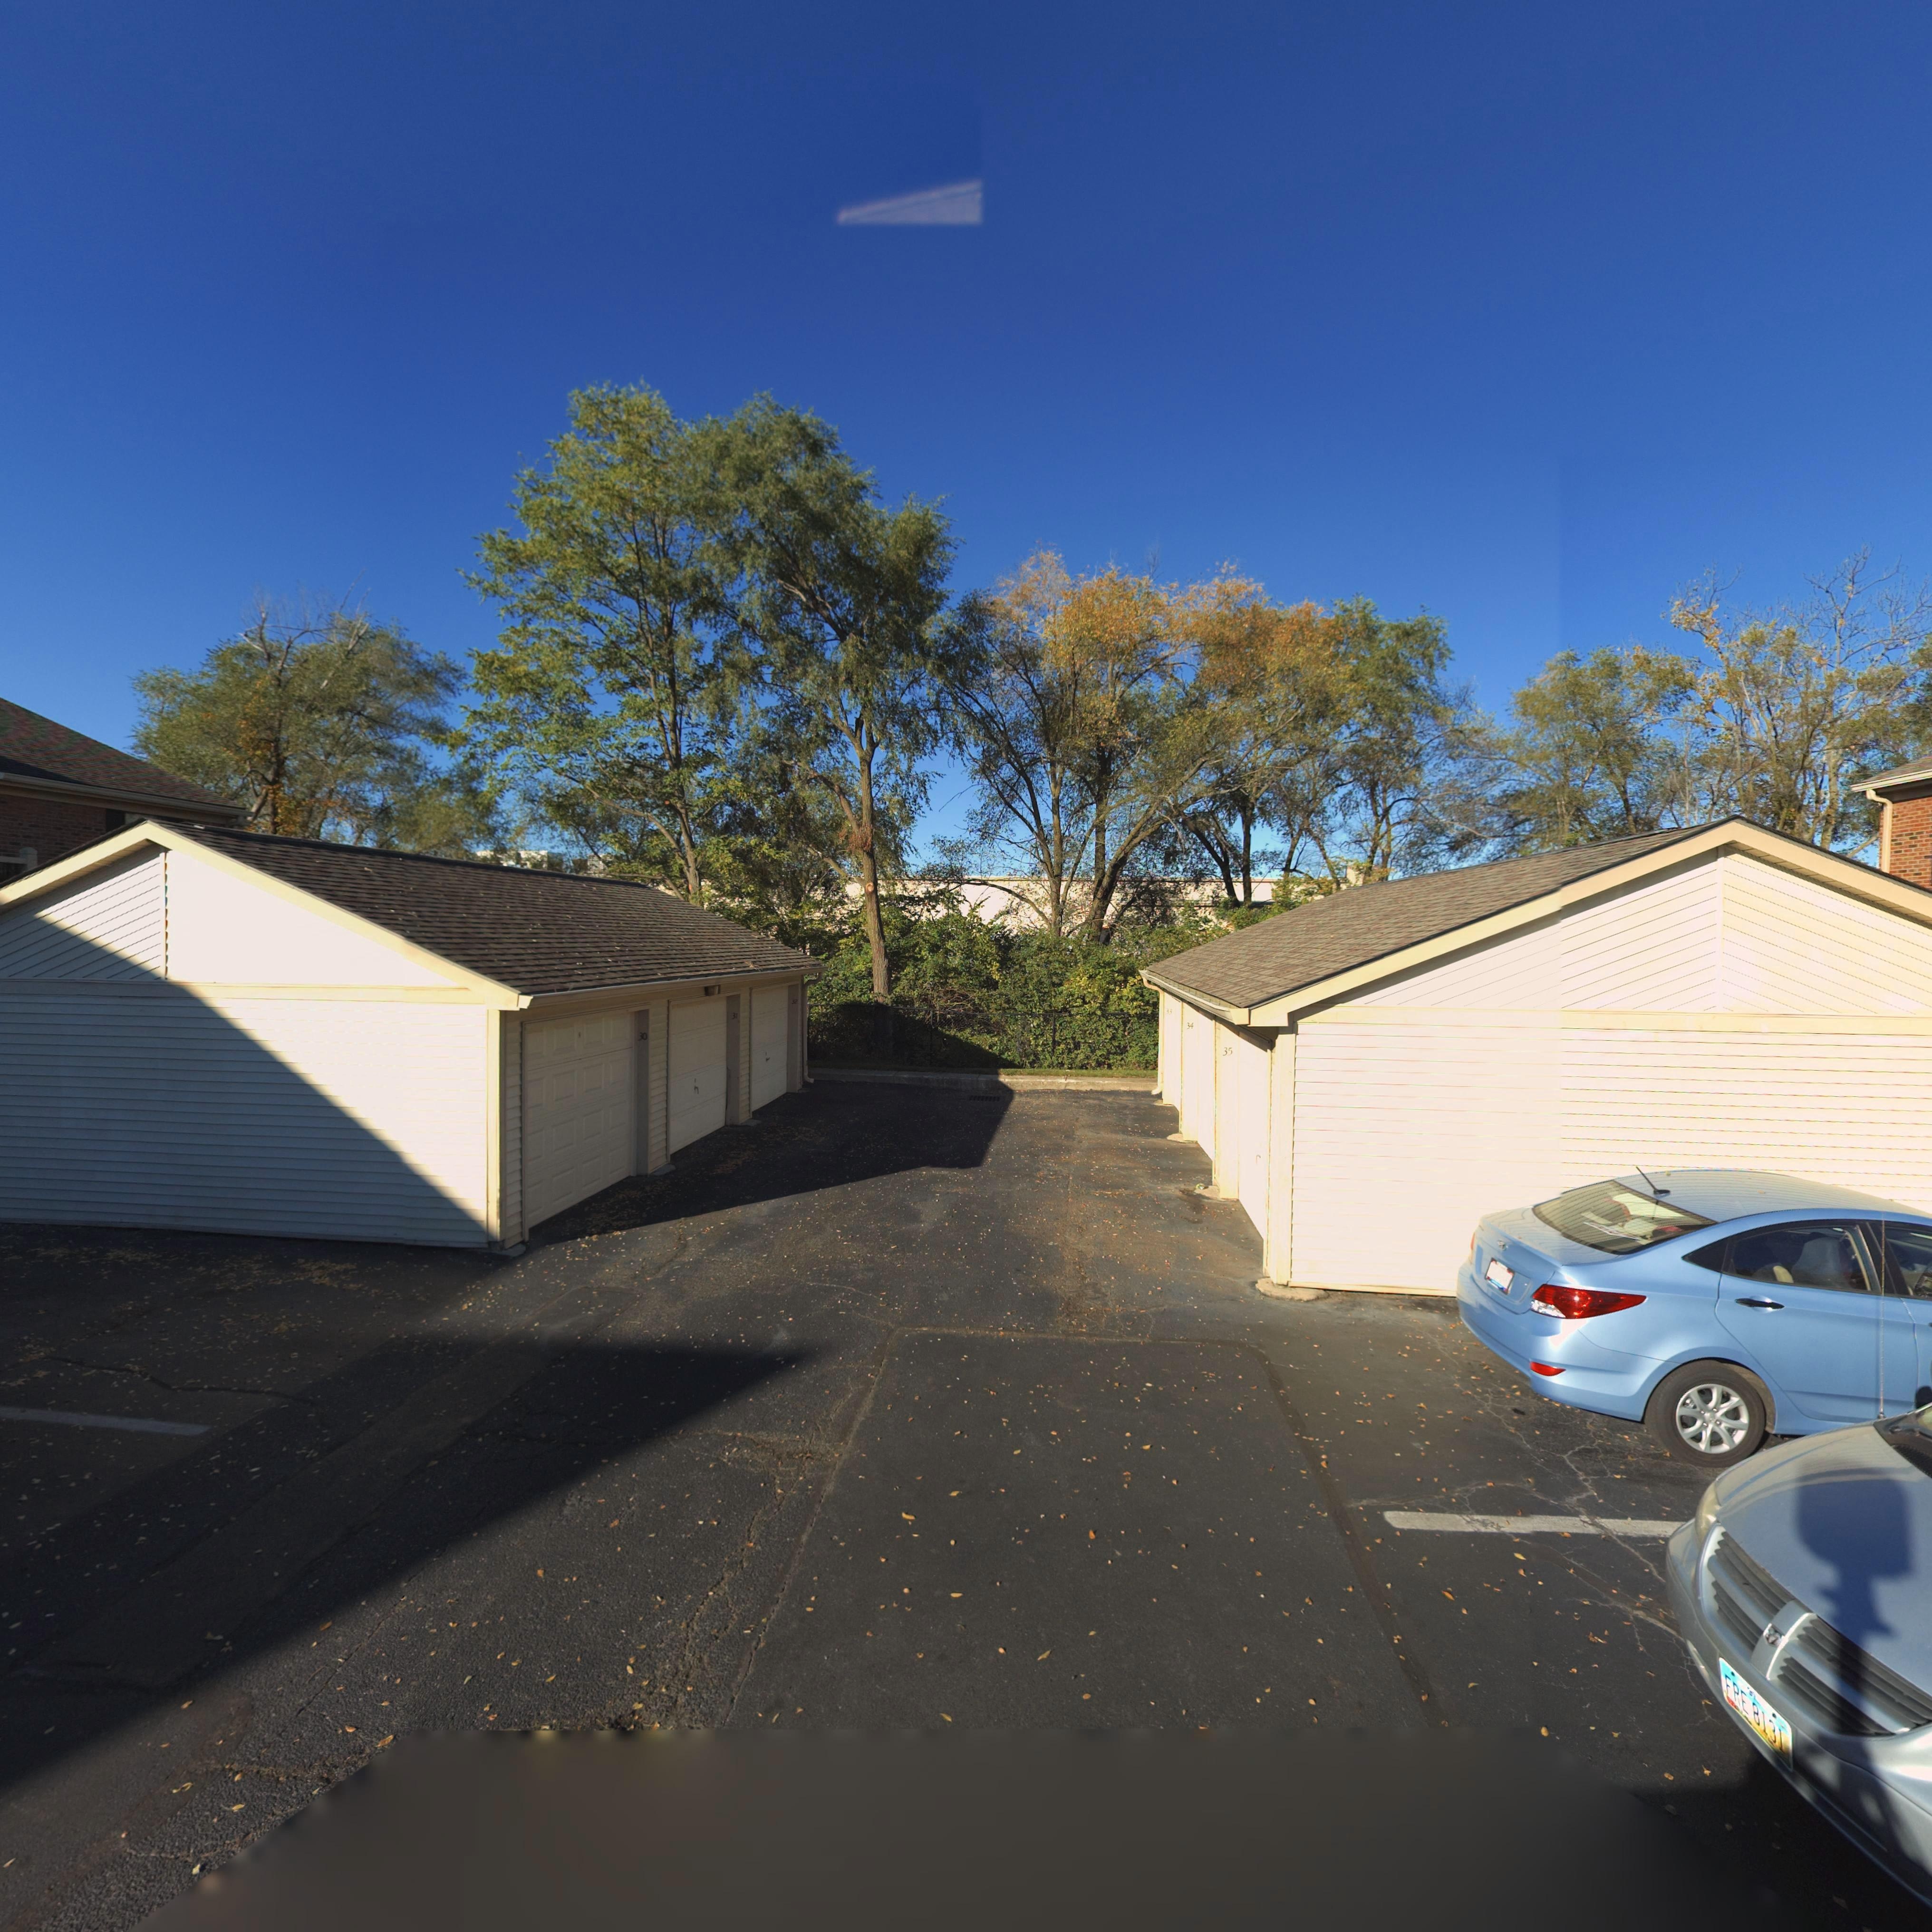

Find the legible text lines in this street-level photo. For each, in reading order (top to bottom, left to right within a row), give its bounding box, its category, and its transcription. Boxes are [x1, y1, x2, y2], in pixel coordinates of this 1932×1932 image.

[791, 997, 798, 1004] StreetNumber: 32
[1165, 1007, 1173, 1015] StreetNumber: 33
[731, 1012, 738, 1020] StreetNumber: 31
[1186, 1022, 1194, 1030] StreetNumber: 34
[637, 1030, 647, 1041] StreetNumber: 30
[1222, 1046, 1233, 1056] StreetNumber: 35